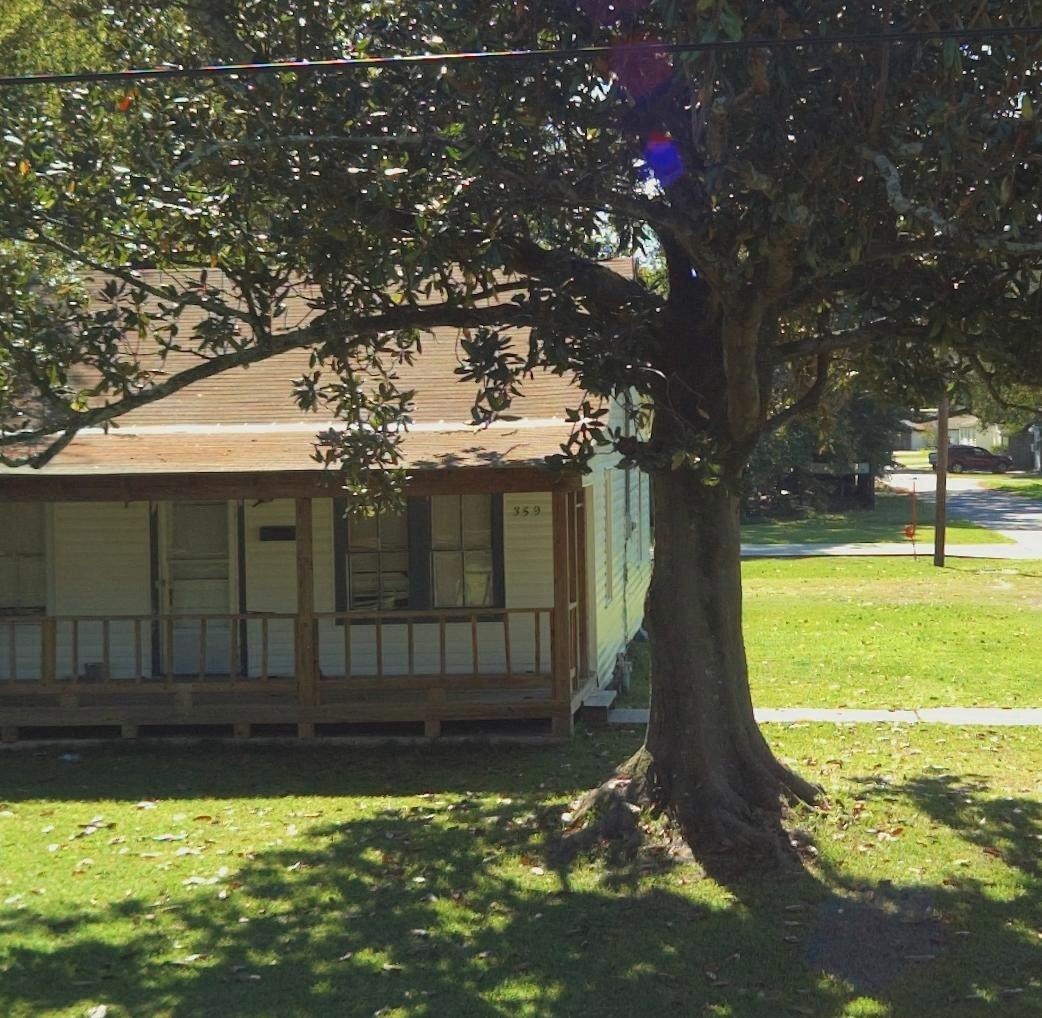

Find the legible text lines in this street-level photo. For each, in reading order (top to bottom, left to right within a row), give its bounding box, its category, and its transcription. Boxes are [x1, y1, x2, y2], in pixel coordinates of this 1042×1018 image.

[512, 504, 541, 518] StreetNumber: 359